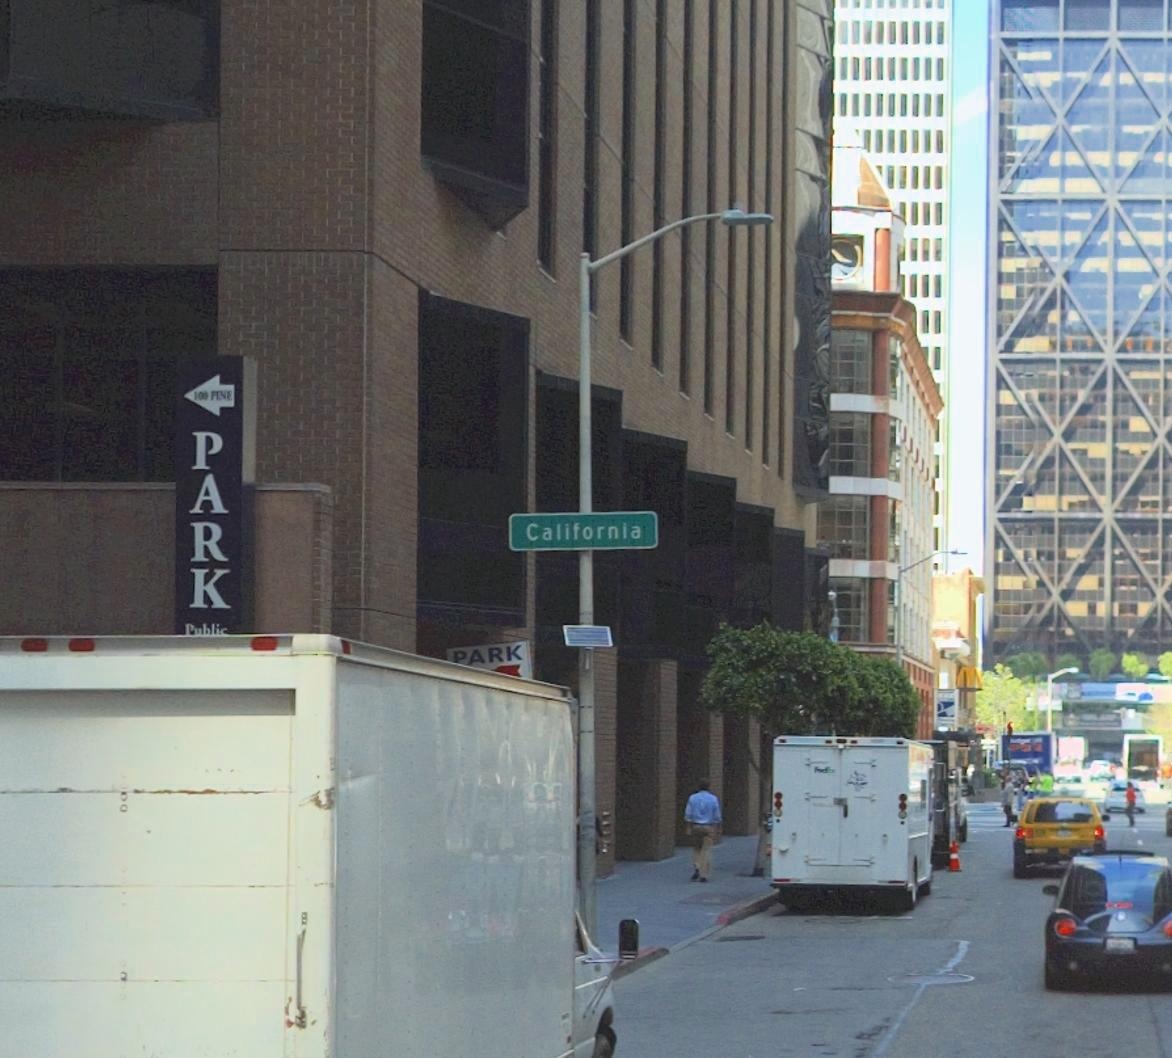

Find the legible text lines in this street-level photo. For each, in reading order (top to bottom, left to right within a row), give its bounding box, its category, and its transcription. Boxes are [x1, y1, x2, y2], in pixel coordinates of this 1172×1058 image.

[193, 388, 232, 402] None: 100 FINE
[187, 429, 233, 610] None: PARK
[526, 521, 642, 543] StreetName: California
[184, 621, 229, 637] None: Public
[451, 642, 523, 667] None: PARK